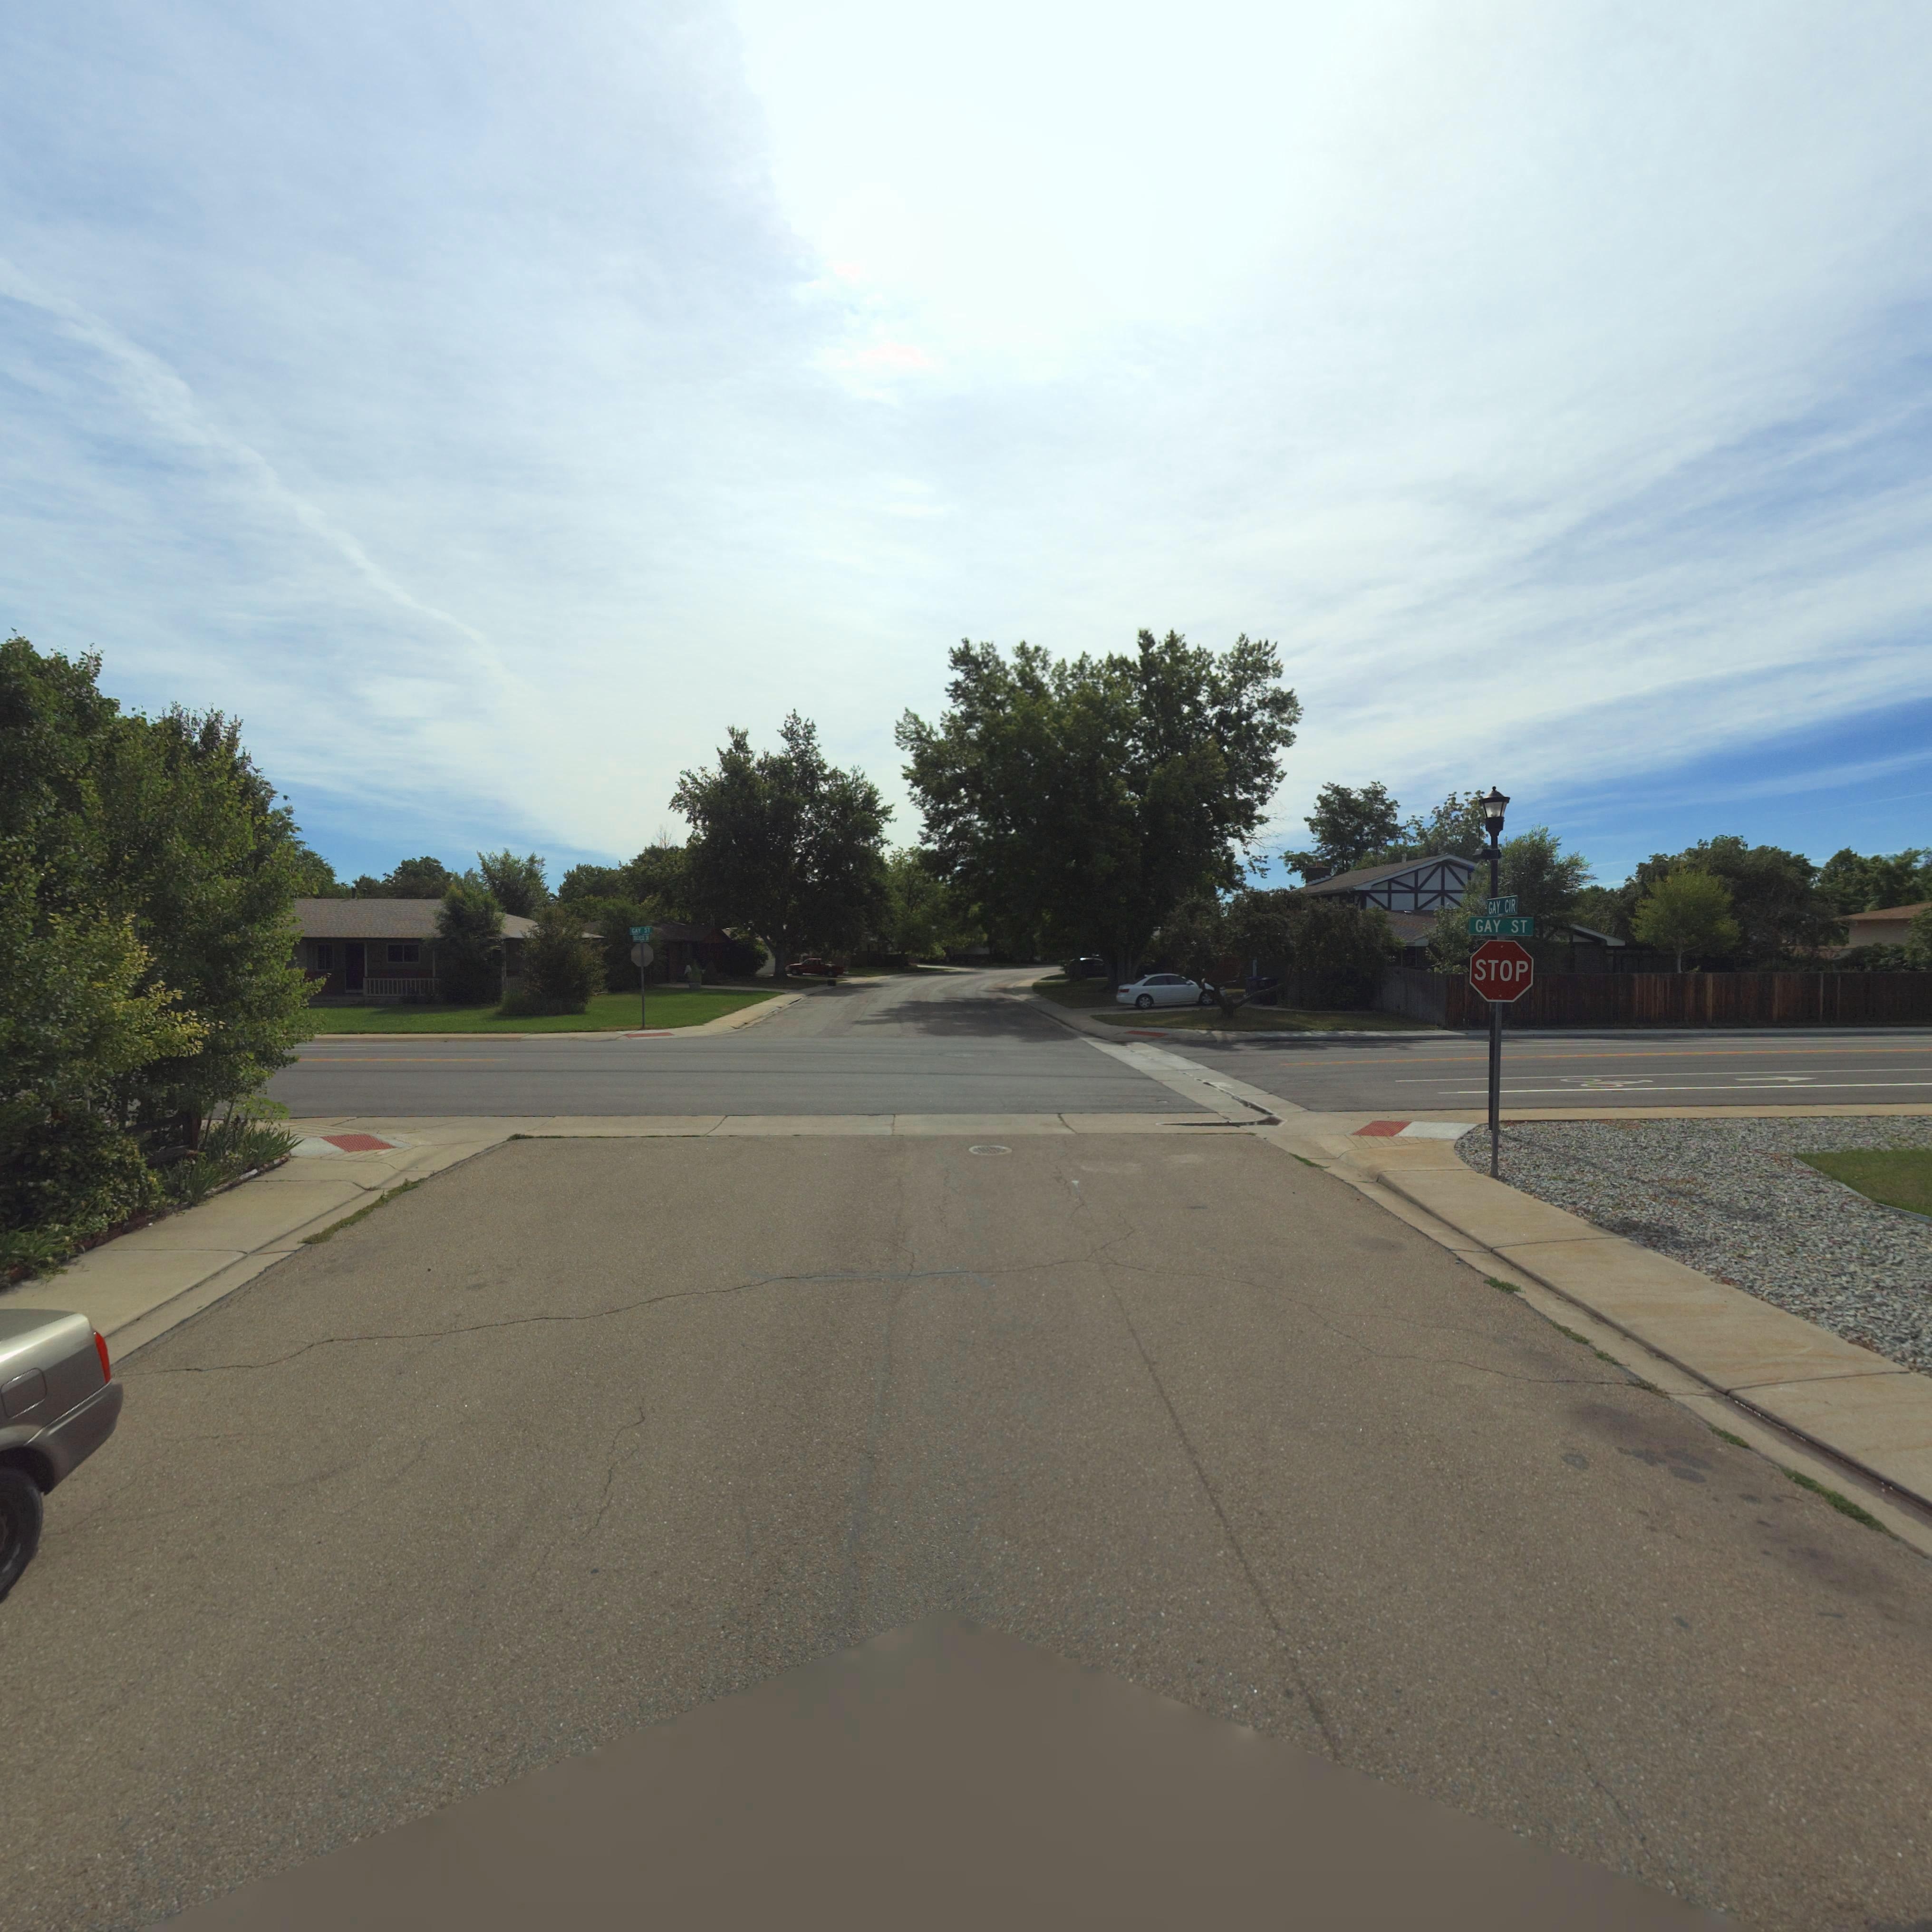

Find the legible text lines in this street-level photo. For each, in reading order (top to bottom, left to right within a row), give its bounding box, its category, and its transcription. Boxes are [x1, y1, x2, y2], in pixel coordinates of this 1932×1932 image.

[1488, 898, 1516, 914] StreetName: GAY CIR
[631, 927, 650, 934] StreetName: GAY ST
[633, 935, 649, 940] StreetName: D*CH**S D*
[1475, 919, 1527, 933] StreetName: GAY ST